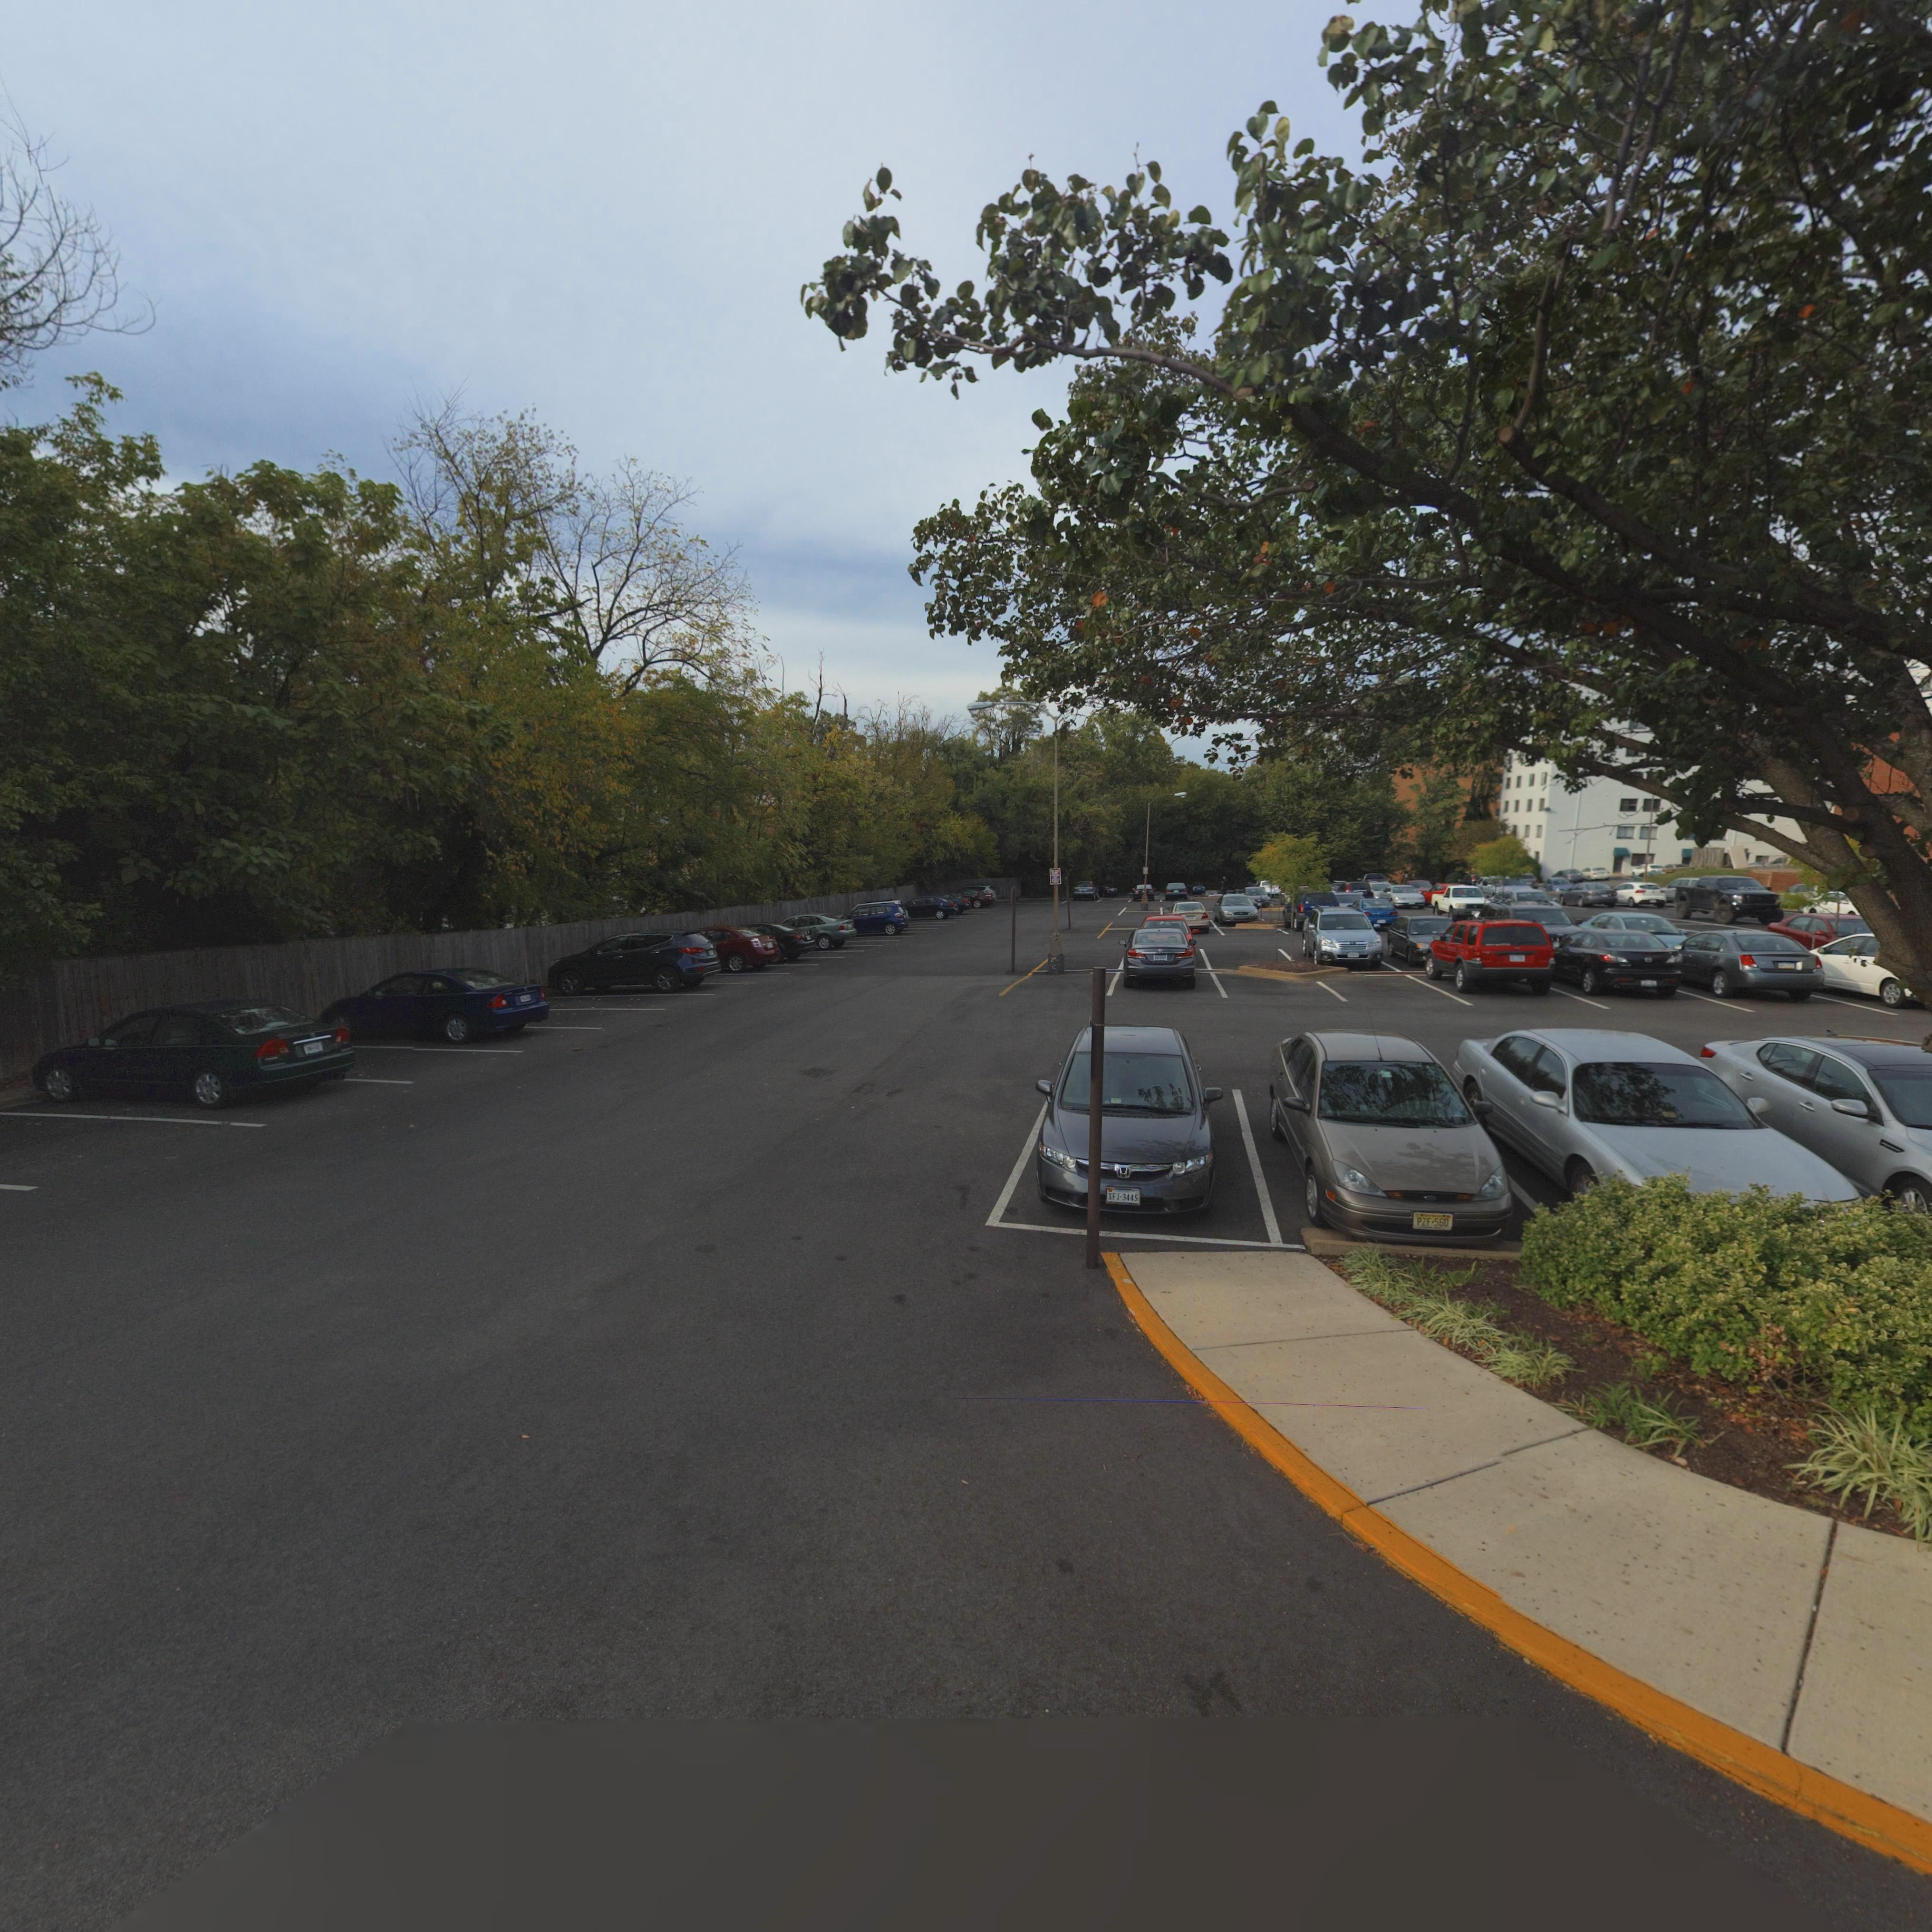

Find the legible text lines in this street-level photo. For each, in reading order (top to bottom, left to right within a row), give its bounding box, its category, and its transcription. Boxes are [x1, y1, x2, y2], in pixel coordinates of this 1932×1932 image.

[1108, 1191, 1139, 1203] None: XFJ-3445
[1416, 1216, 1450, 1228] None: PZF*560